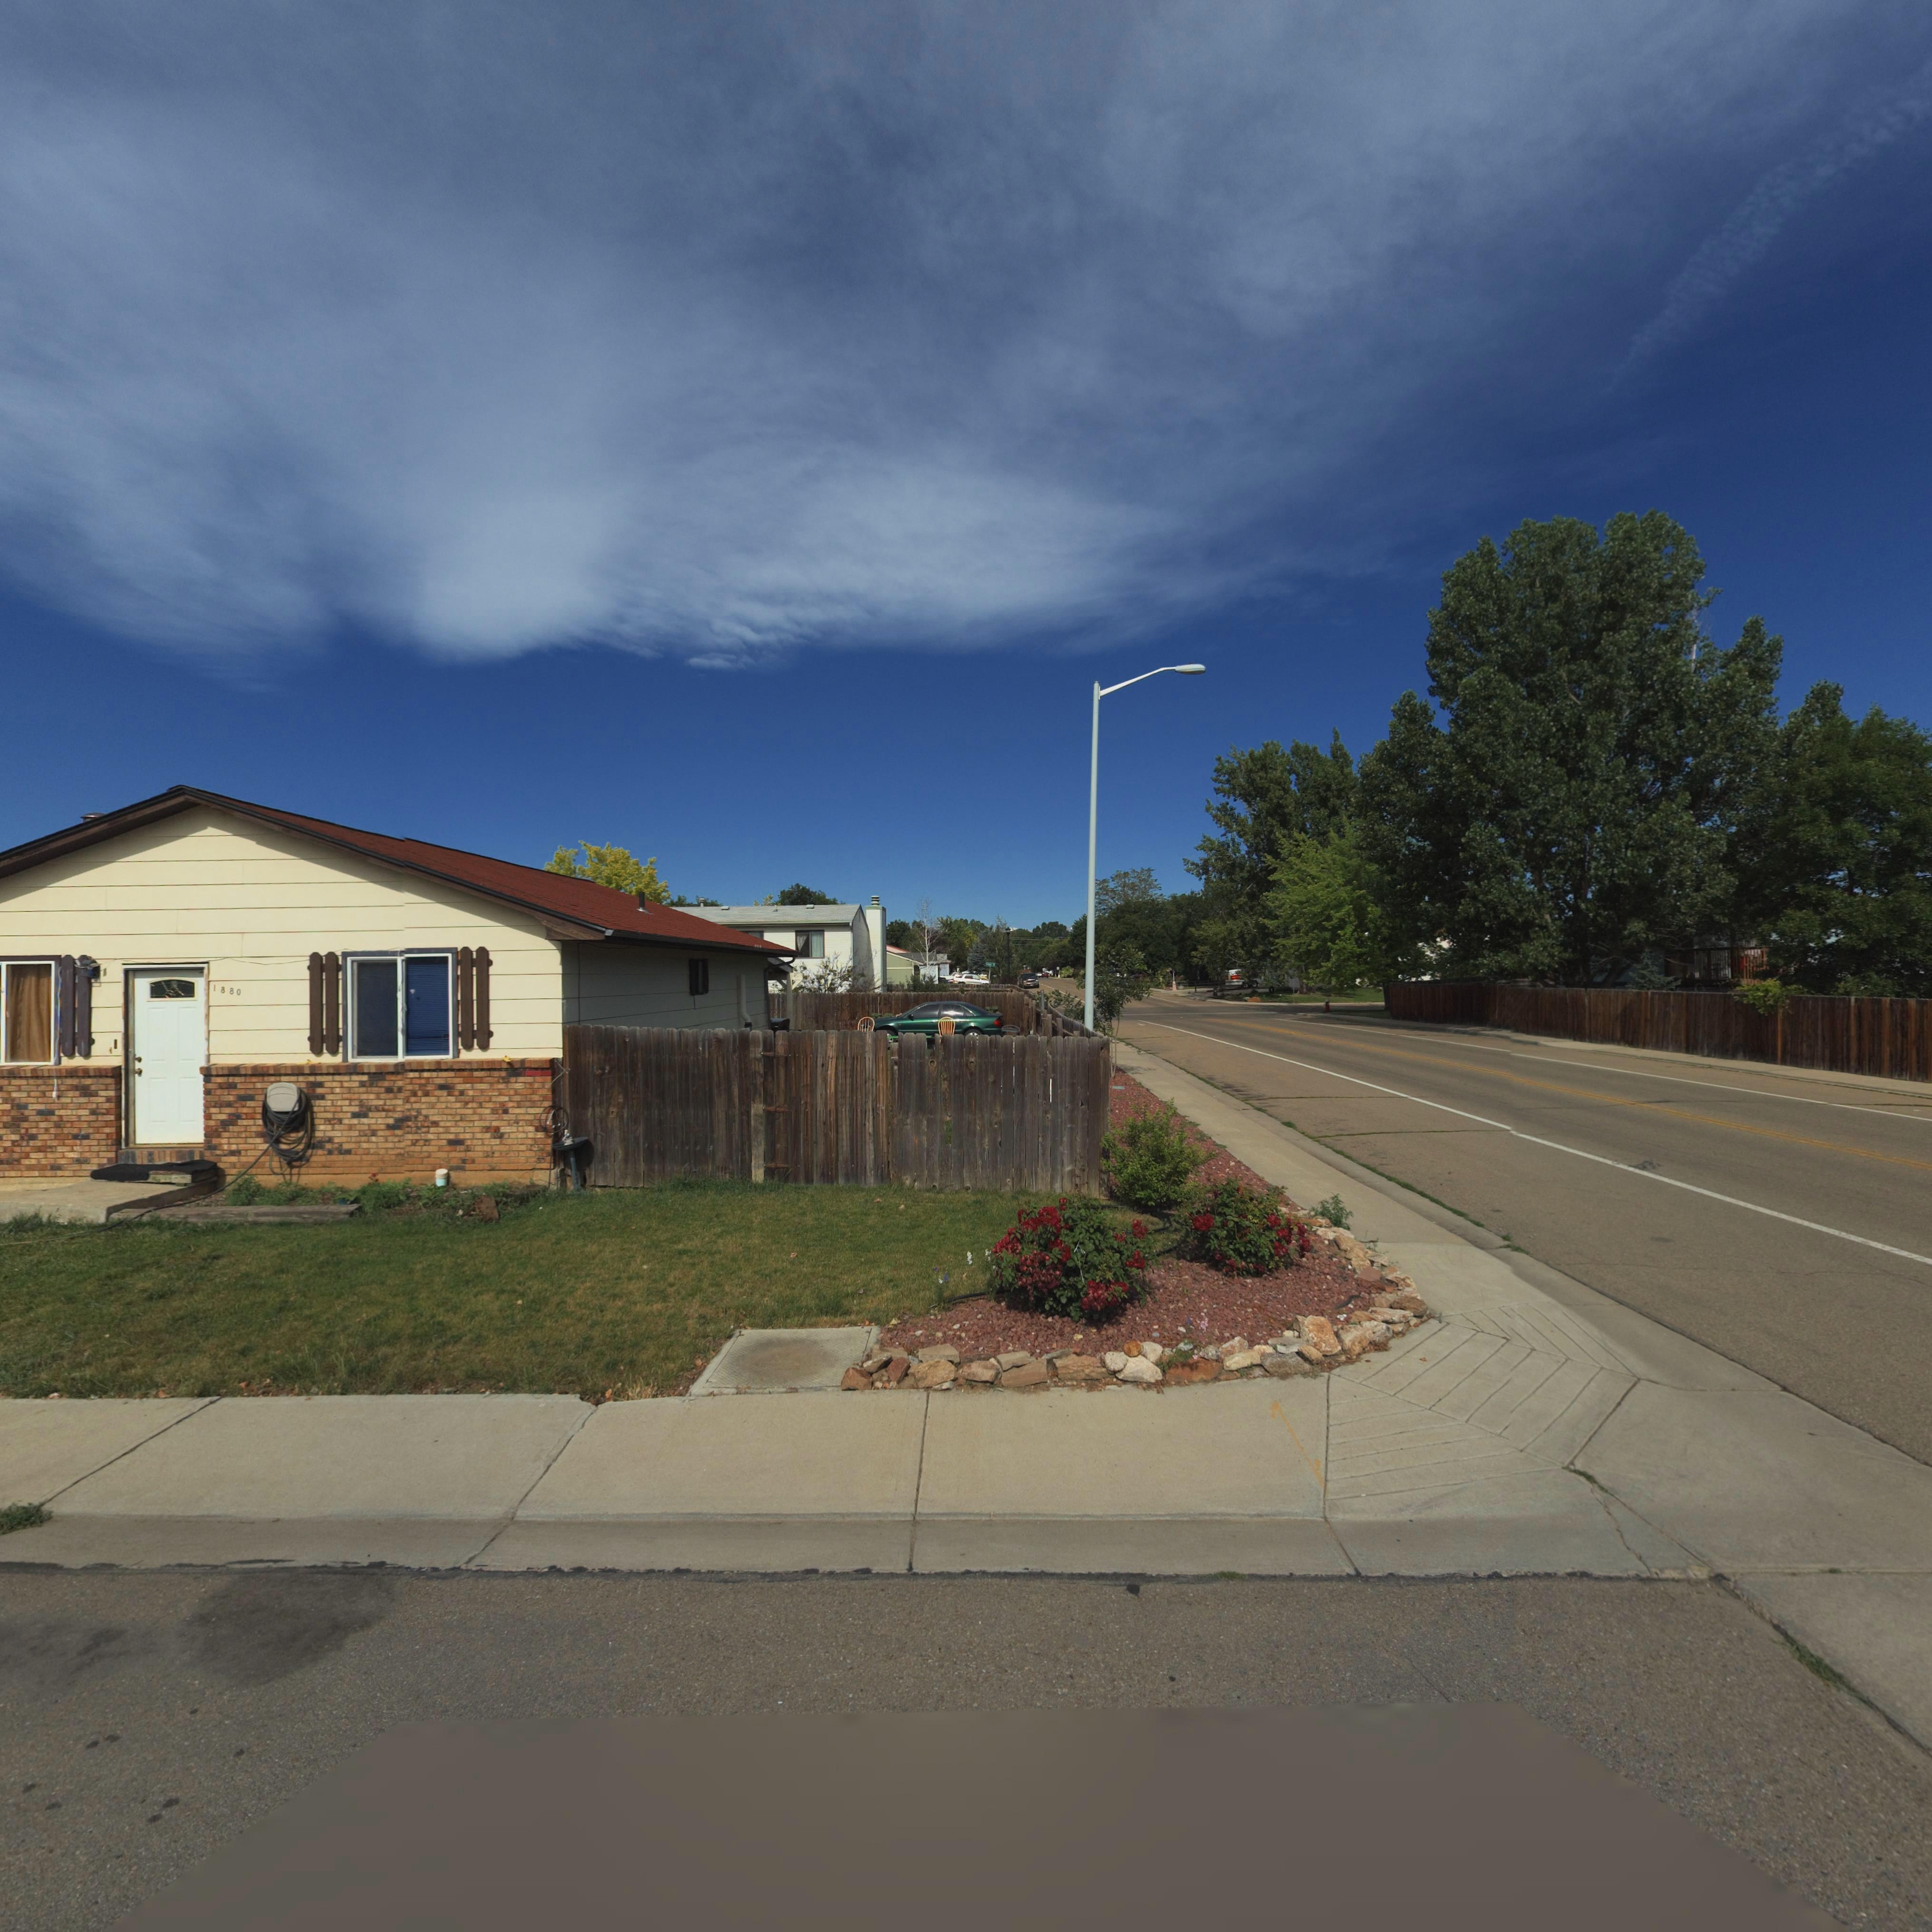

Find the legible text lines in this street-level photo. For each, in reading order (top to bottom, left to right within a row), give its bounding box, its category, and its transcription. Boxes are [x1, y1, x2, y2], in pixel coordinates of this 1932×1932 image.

[213, 983, 241, 996] StreetNumber: 1880